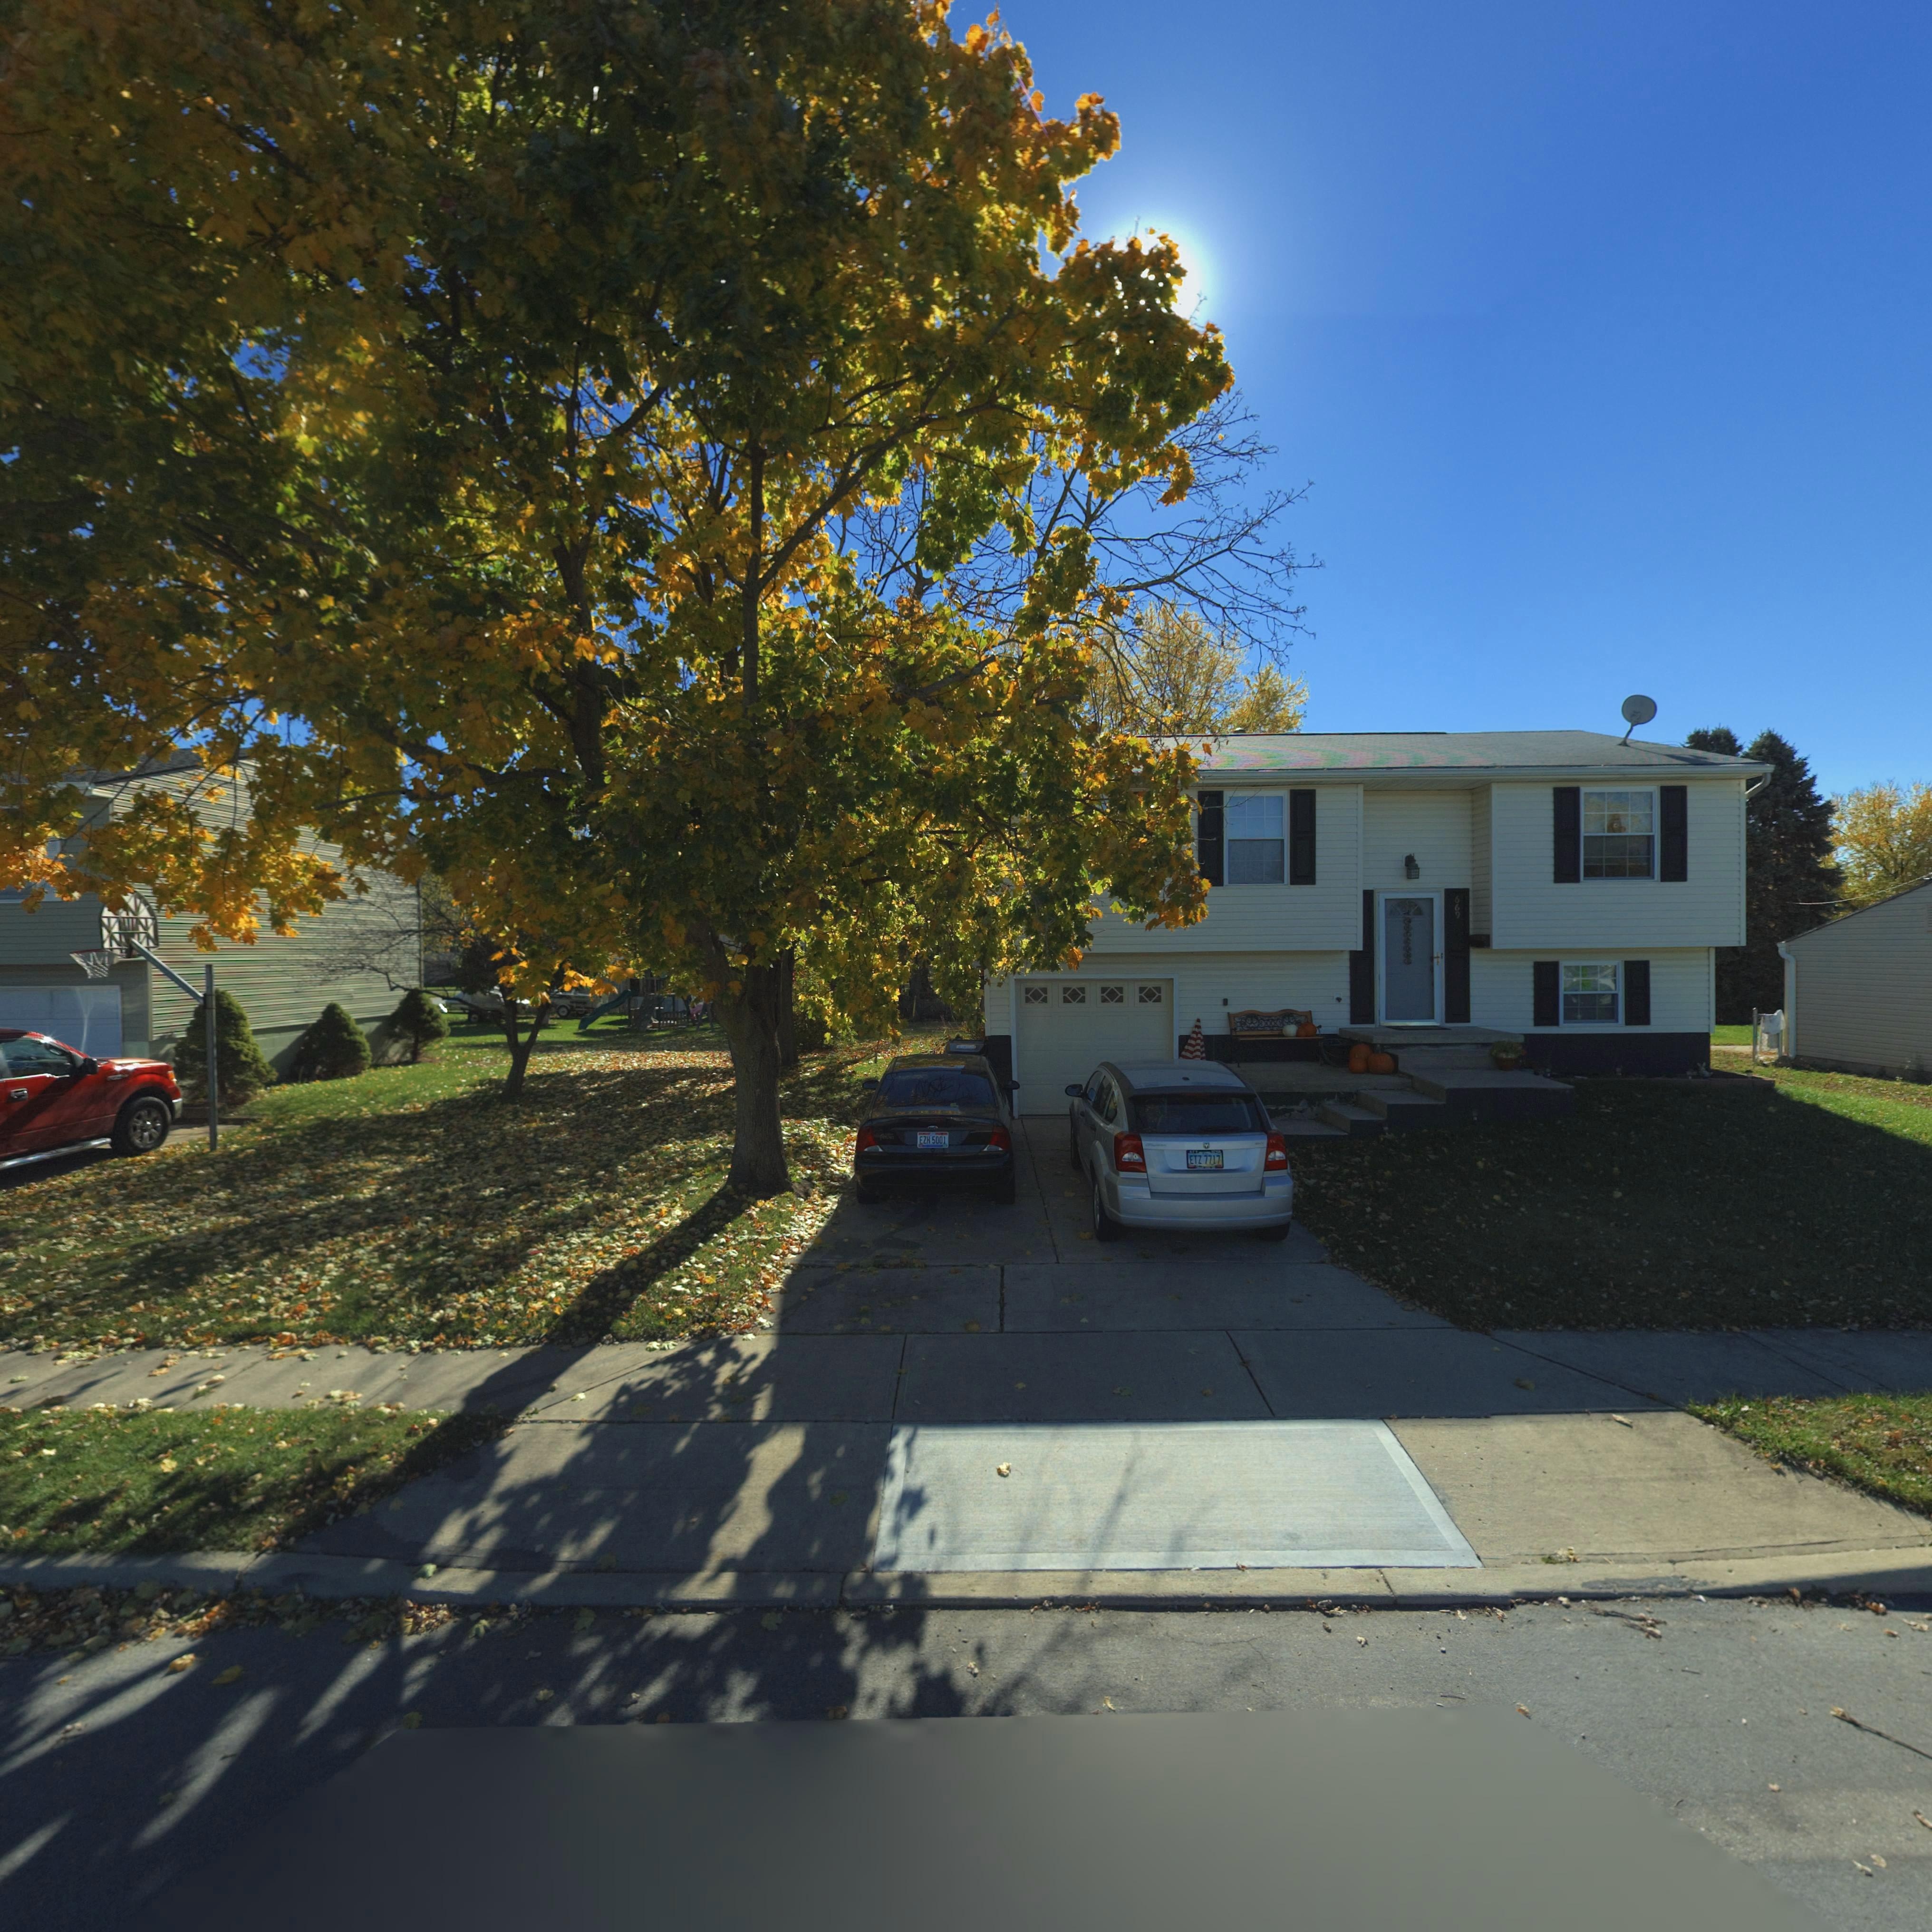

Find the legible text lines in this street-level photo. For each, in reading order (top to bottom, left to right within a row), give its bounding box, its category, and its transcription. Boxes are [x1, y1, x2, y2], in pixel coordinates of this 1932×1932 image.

[1454, 896, 1460, 919] StreetNumber: 669
[918, 1134, 946, 1146] None: EZH 5001
[1188, 1153, 1221, 1165] None: ETZ 7717